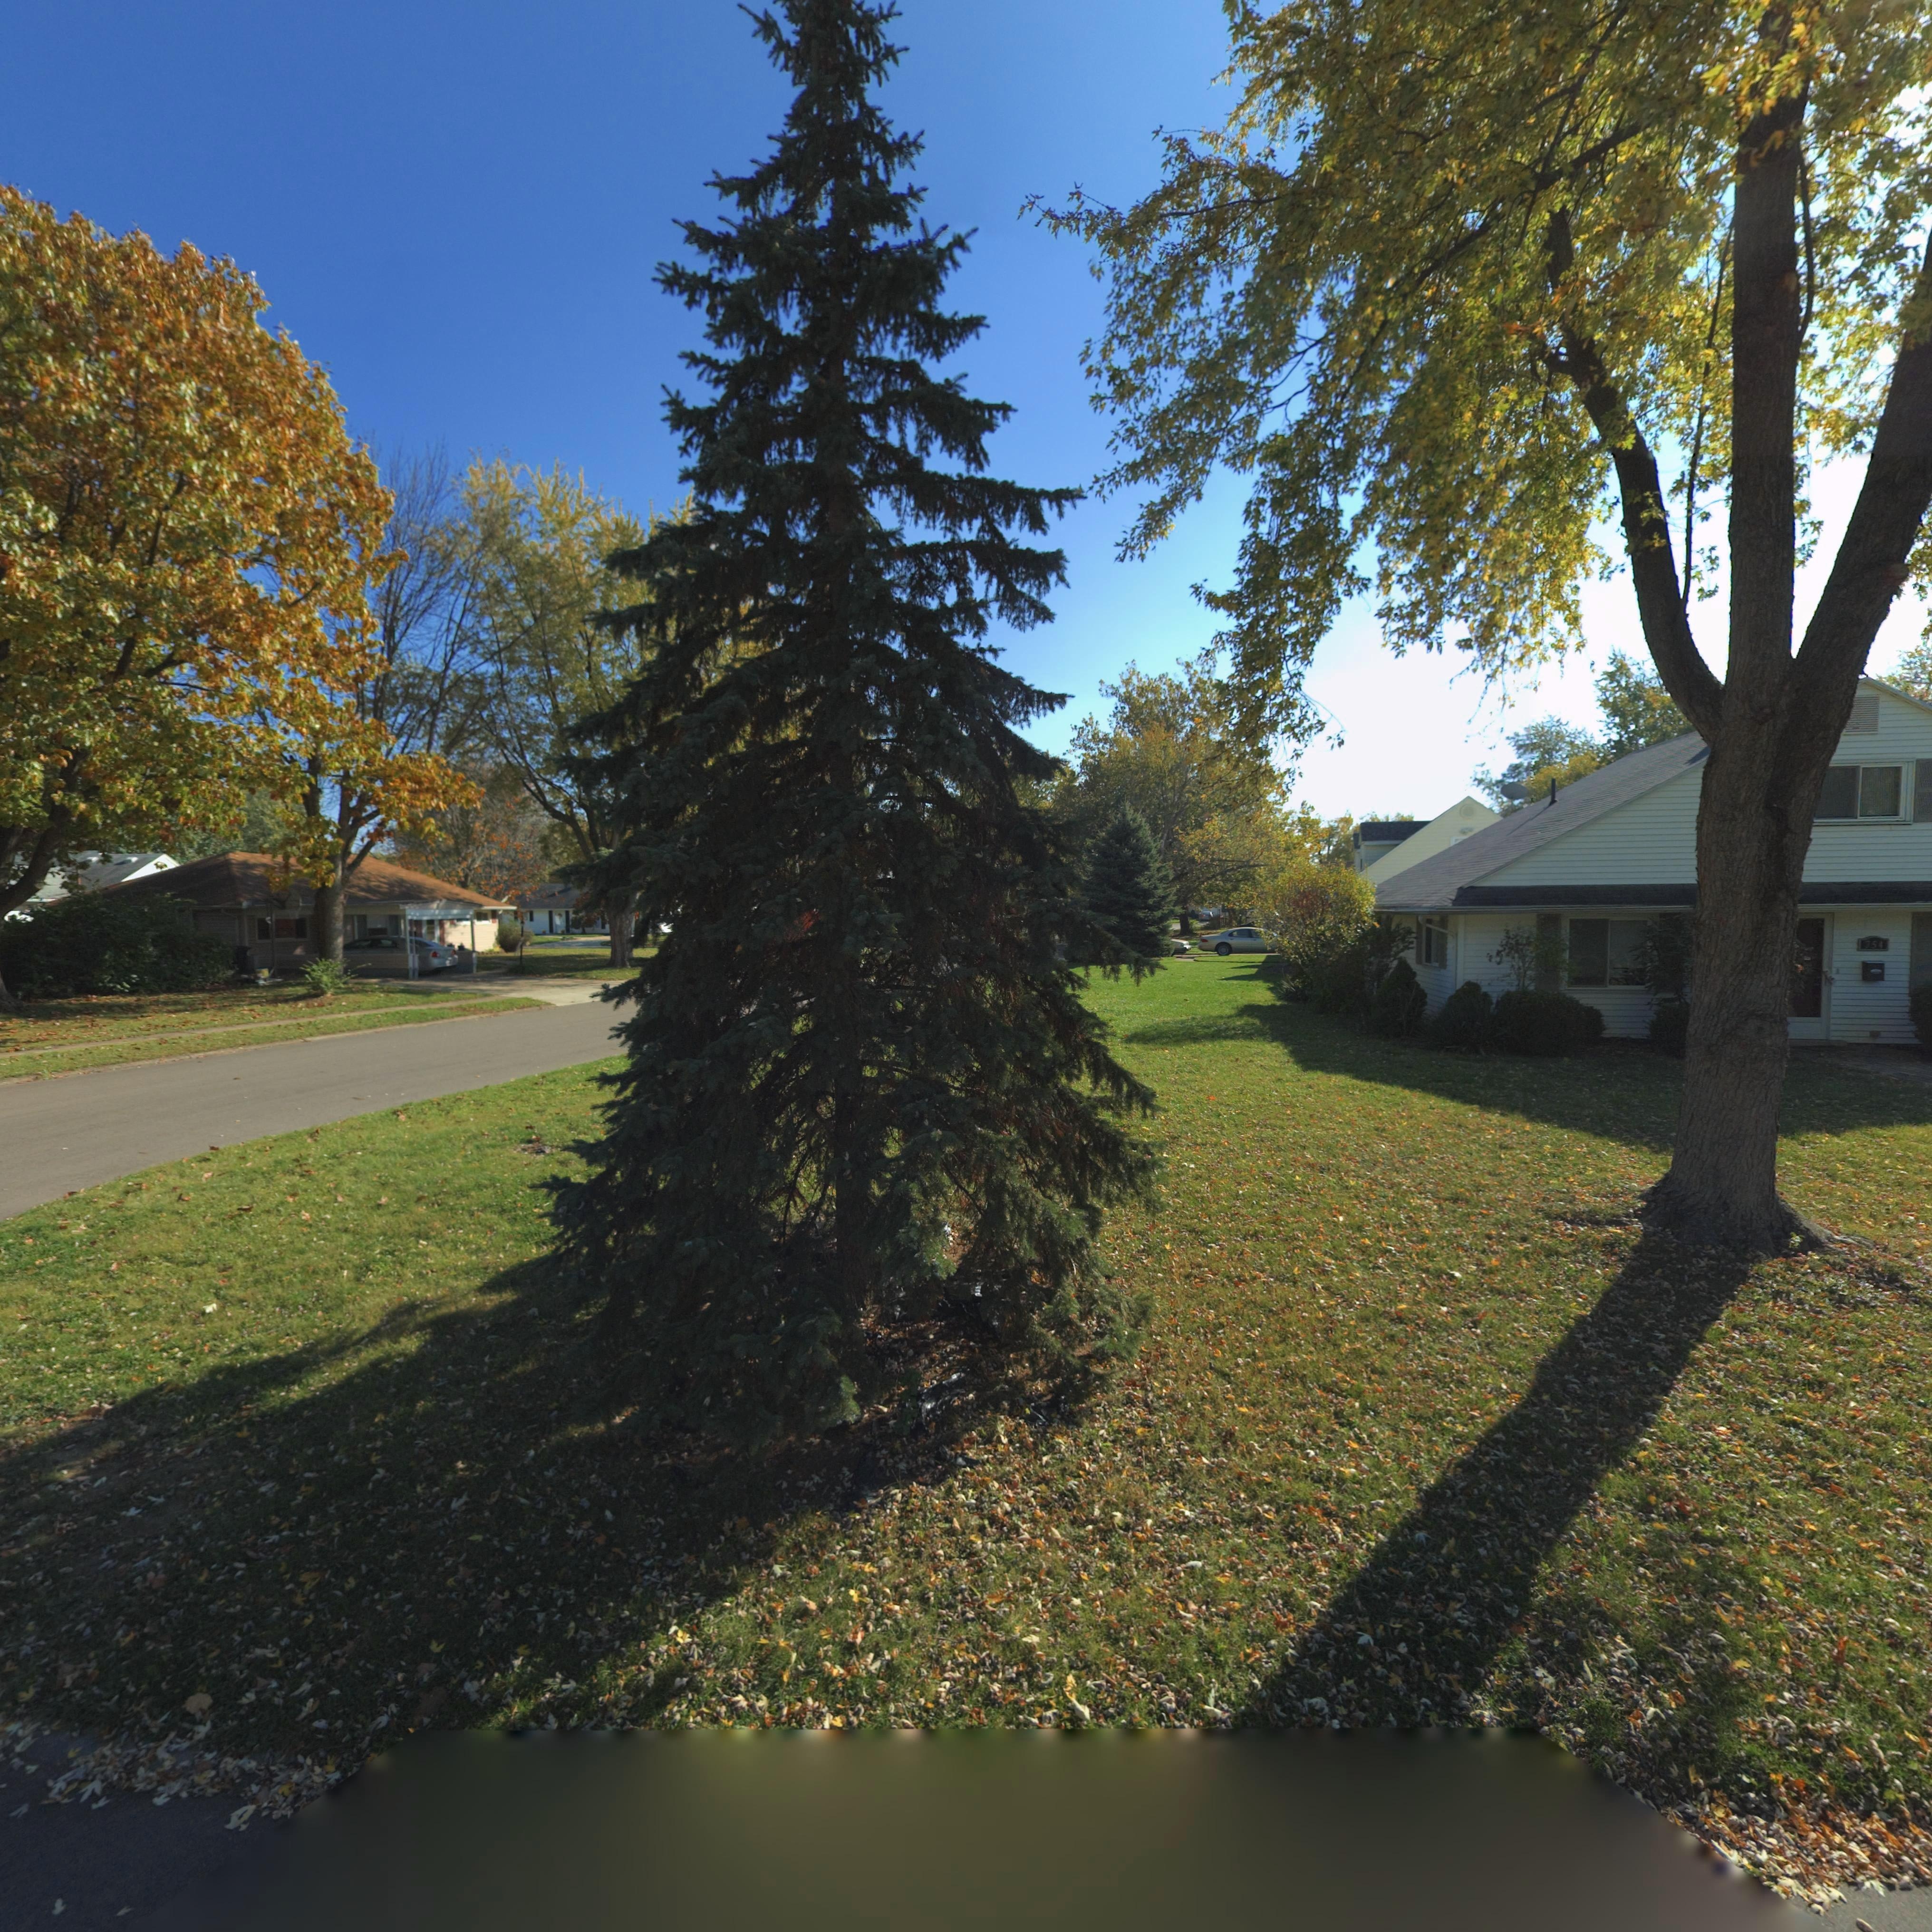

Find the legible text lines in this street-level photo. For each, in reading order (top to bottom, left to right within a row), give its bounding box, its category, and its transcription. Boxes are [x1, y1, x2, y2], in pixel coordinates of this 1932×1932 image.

[1864, 940, 1884, 949] StreetNumber: 754